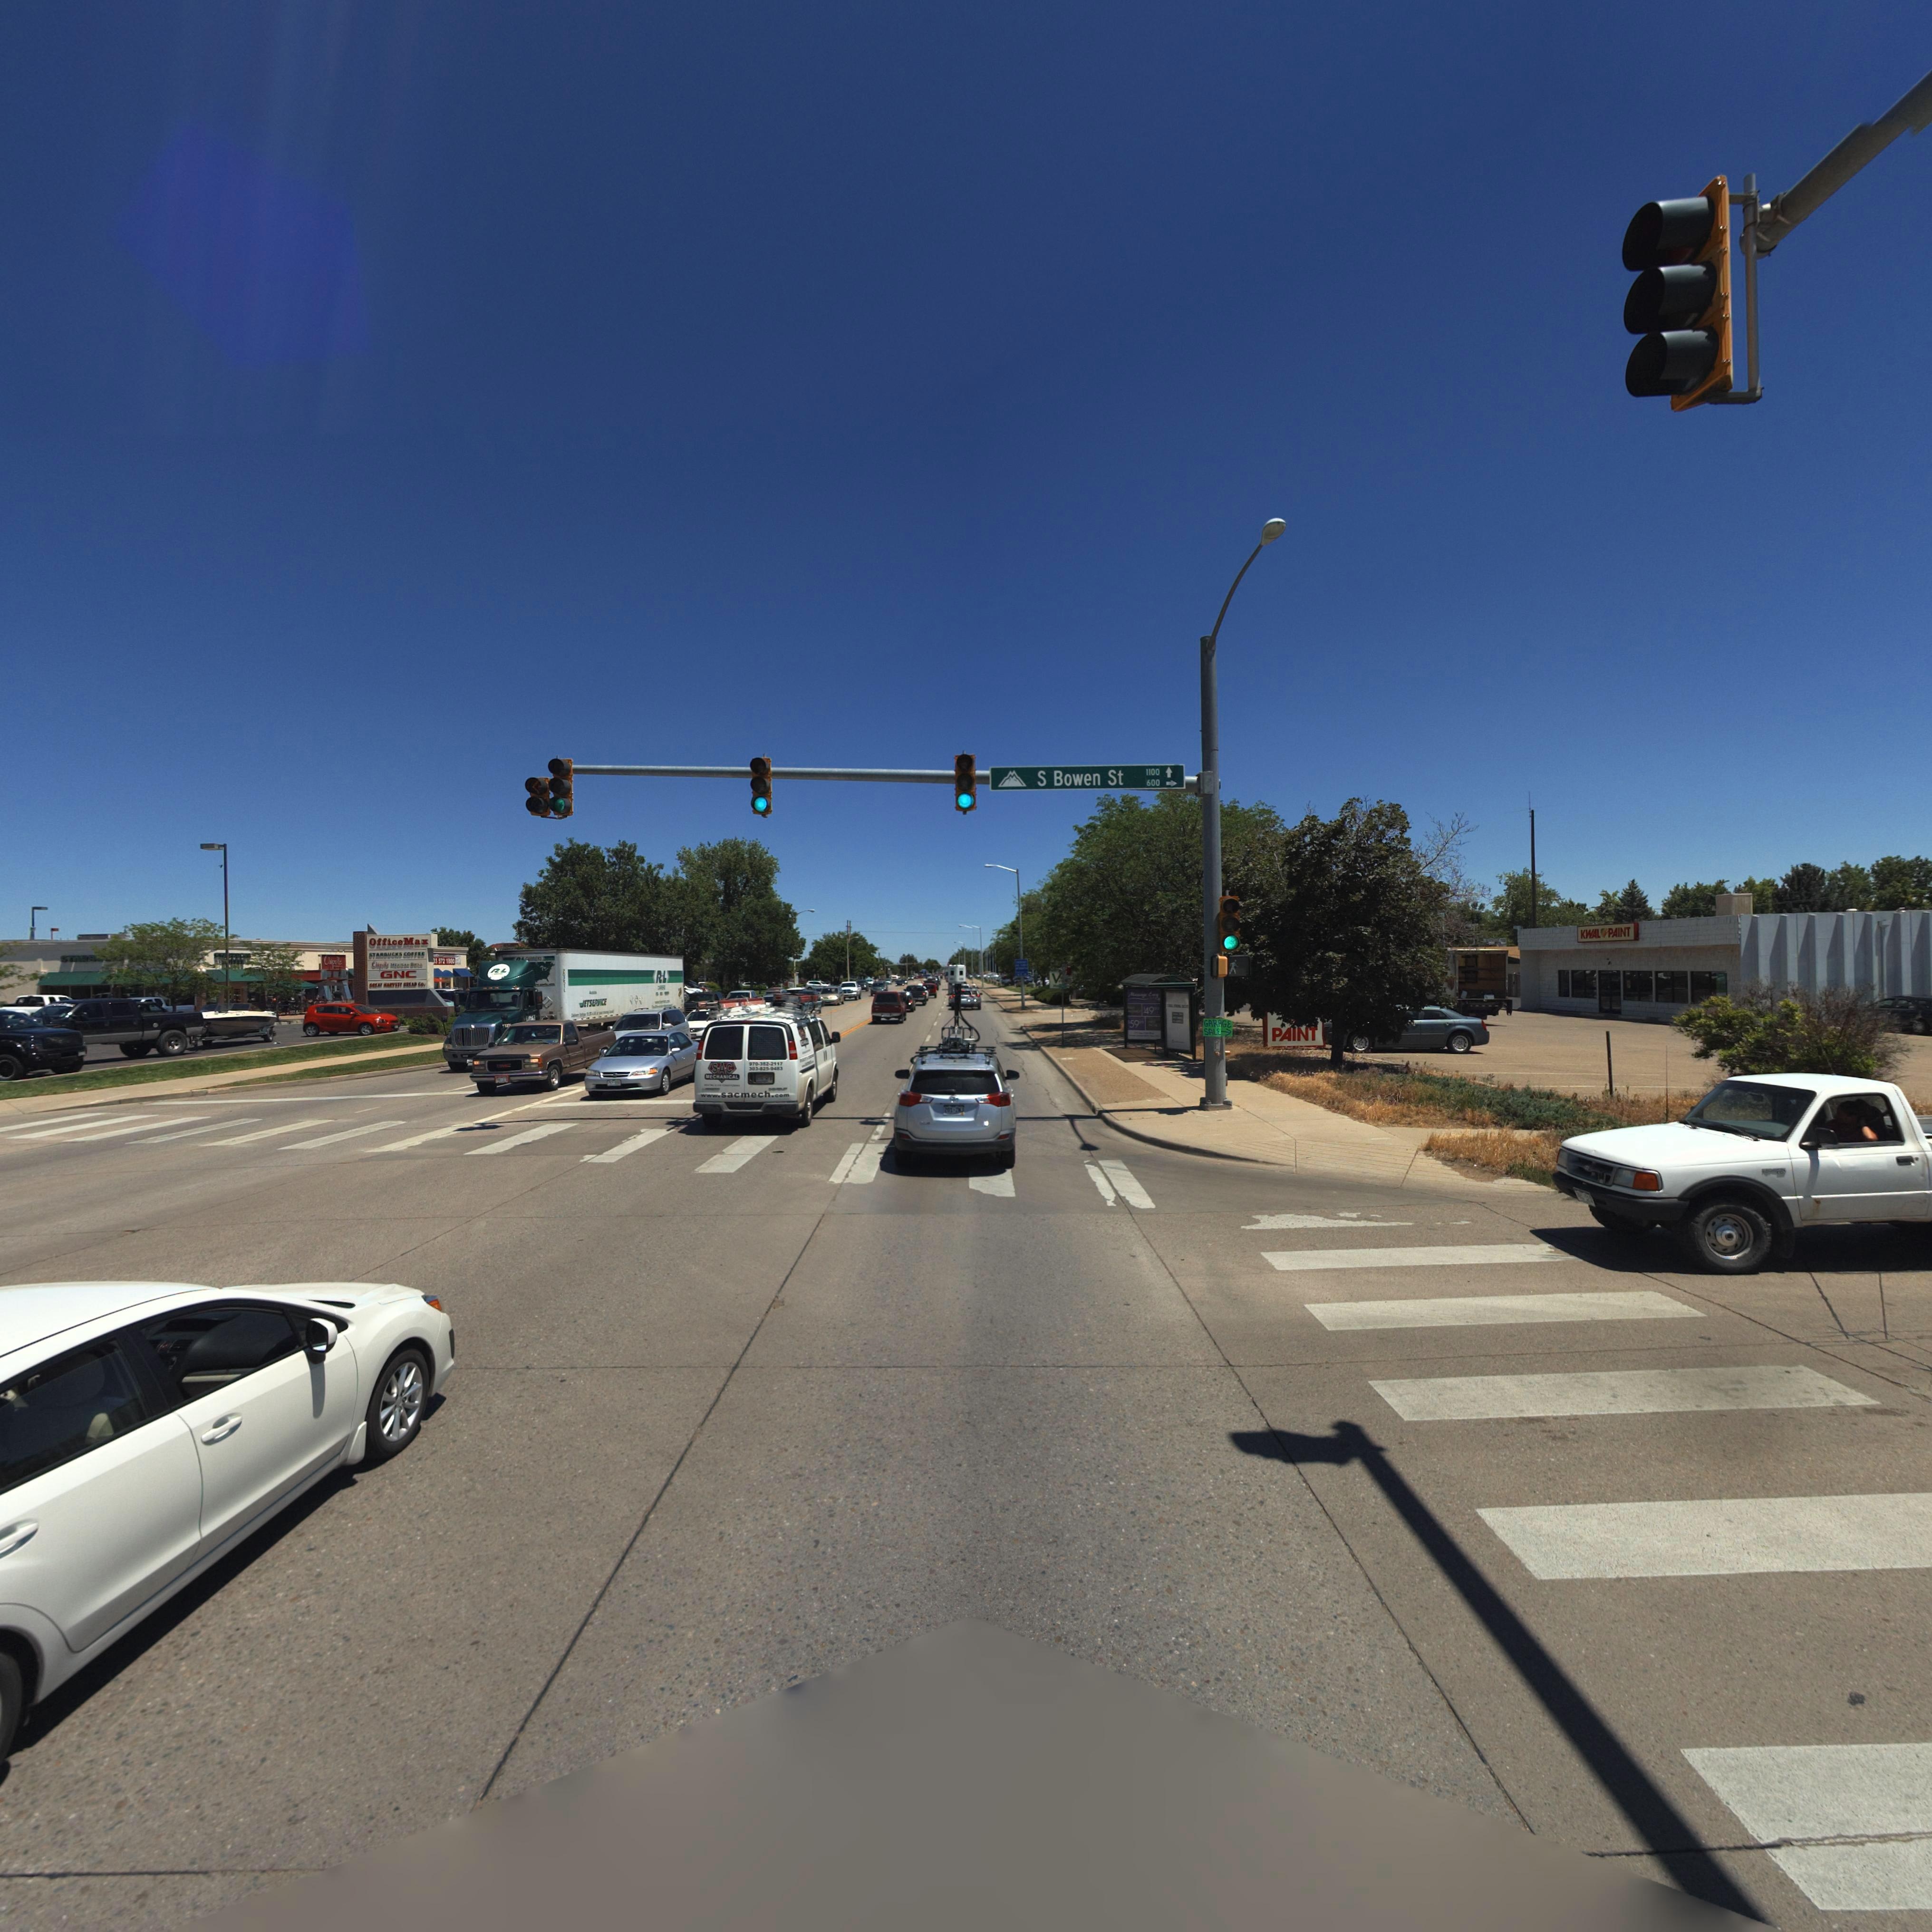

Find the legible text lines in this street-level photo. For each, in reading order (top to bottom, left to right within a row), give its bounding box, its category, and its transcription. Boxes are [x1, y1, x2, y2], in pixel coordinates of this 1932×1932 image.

[1145, 767, 1159, 775] StreetNumberRange: 1100
[1037, 769, 1124, 787] StreetName: S Bowen St
[1146, 779, 1177, 787] StreetNumberRange: 600->
[1580, 926, 1631, 939] BusinessName: KWAL*PAINT
[369, 937, 429, 946] BusinessName: OfficeMax
[59, 953, 125, 963] BusinessName: STARB***
[214, 952, 251, 958] BusinessName: STA*BUCKS
[221, 958, 251, 964] BusinessName: **OFFEE
[323, 955, 342, 969] BusinessName: Chipotle
[368, 951, 425, 956] BusinessName: STARBUCKS COFFEE
[371, 960, 423, 969] BusinessName: Chipotle MEXICAN GRILL
[379, 970, 417, 978] BusinessName: GNC
[1052, 972, 1062, 984] BusinessName: V
[368, 982, 425, 988] BusinessName: GREAT HARVEST BREAD CO